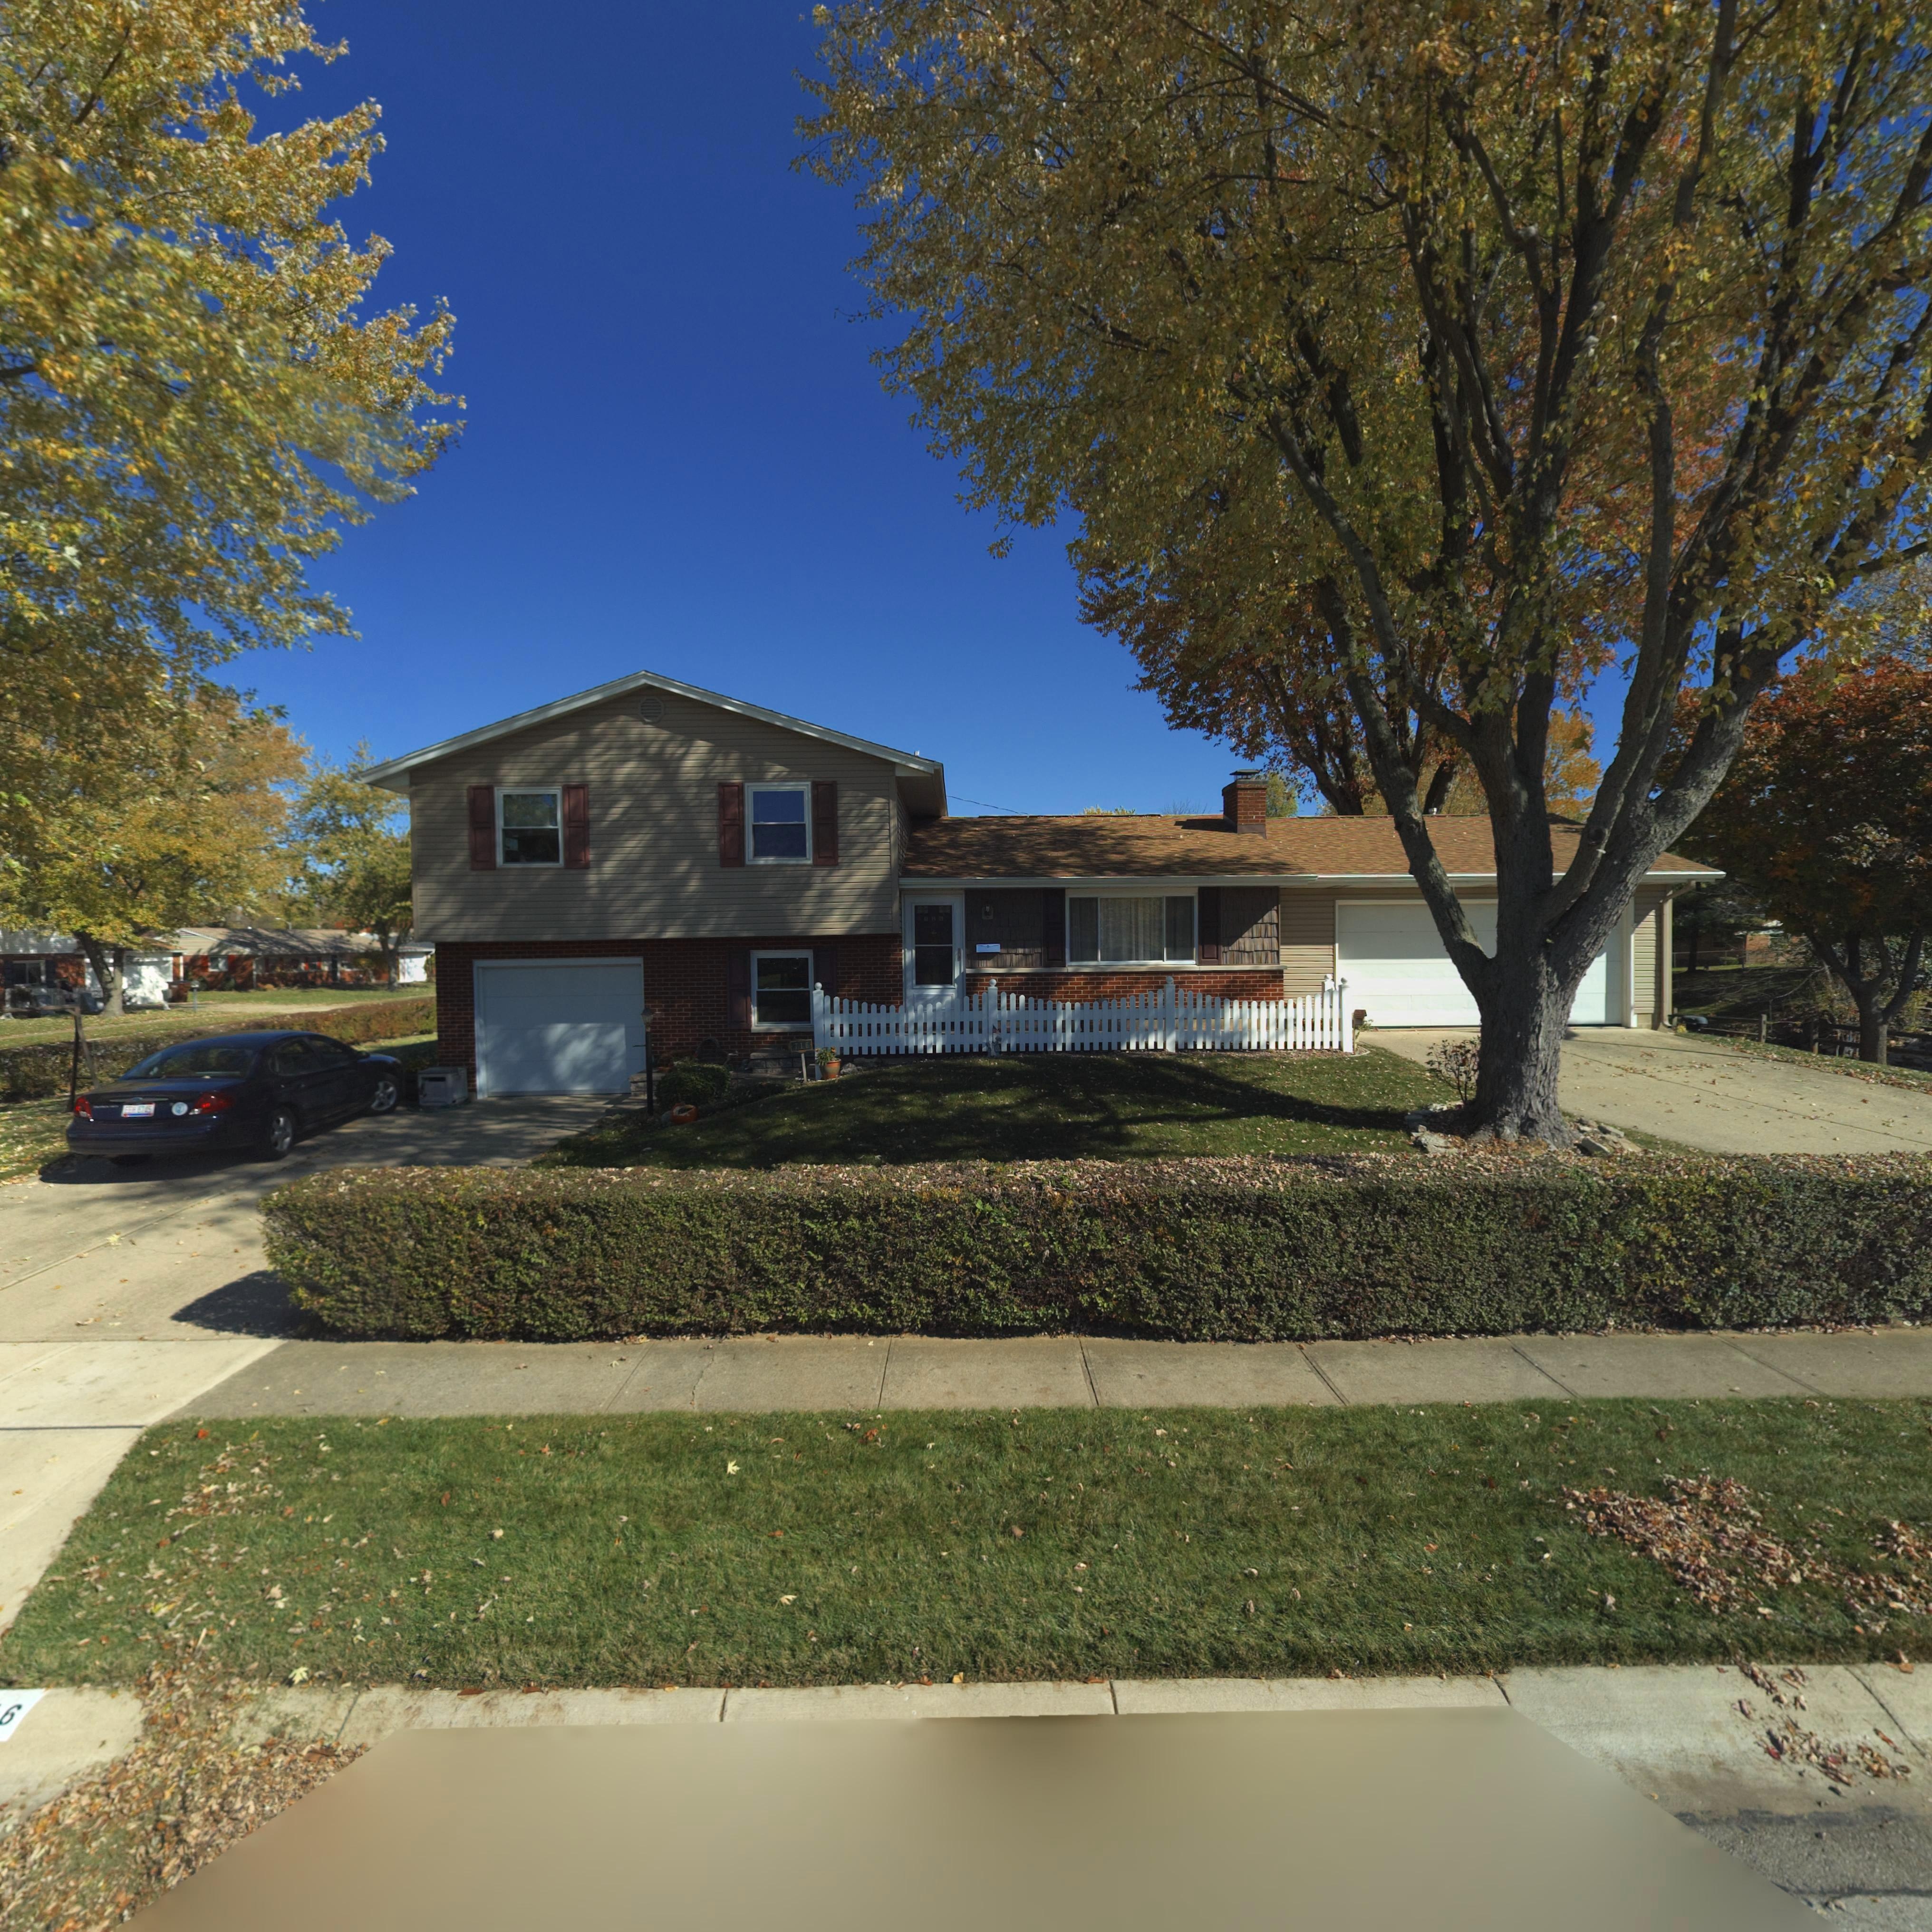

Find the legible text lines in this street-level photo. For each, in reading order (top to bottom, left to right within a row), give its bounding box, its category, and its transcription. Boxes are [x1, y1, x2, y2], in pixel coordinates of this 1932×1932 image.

[794, 1041, 810, 1050] StreetNumber: 716
[0, 1703, 23, 1727] StreetNumber: 6